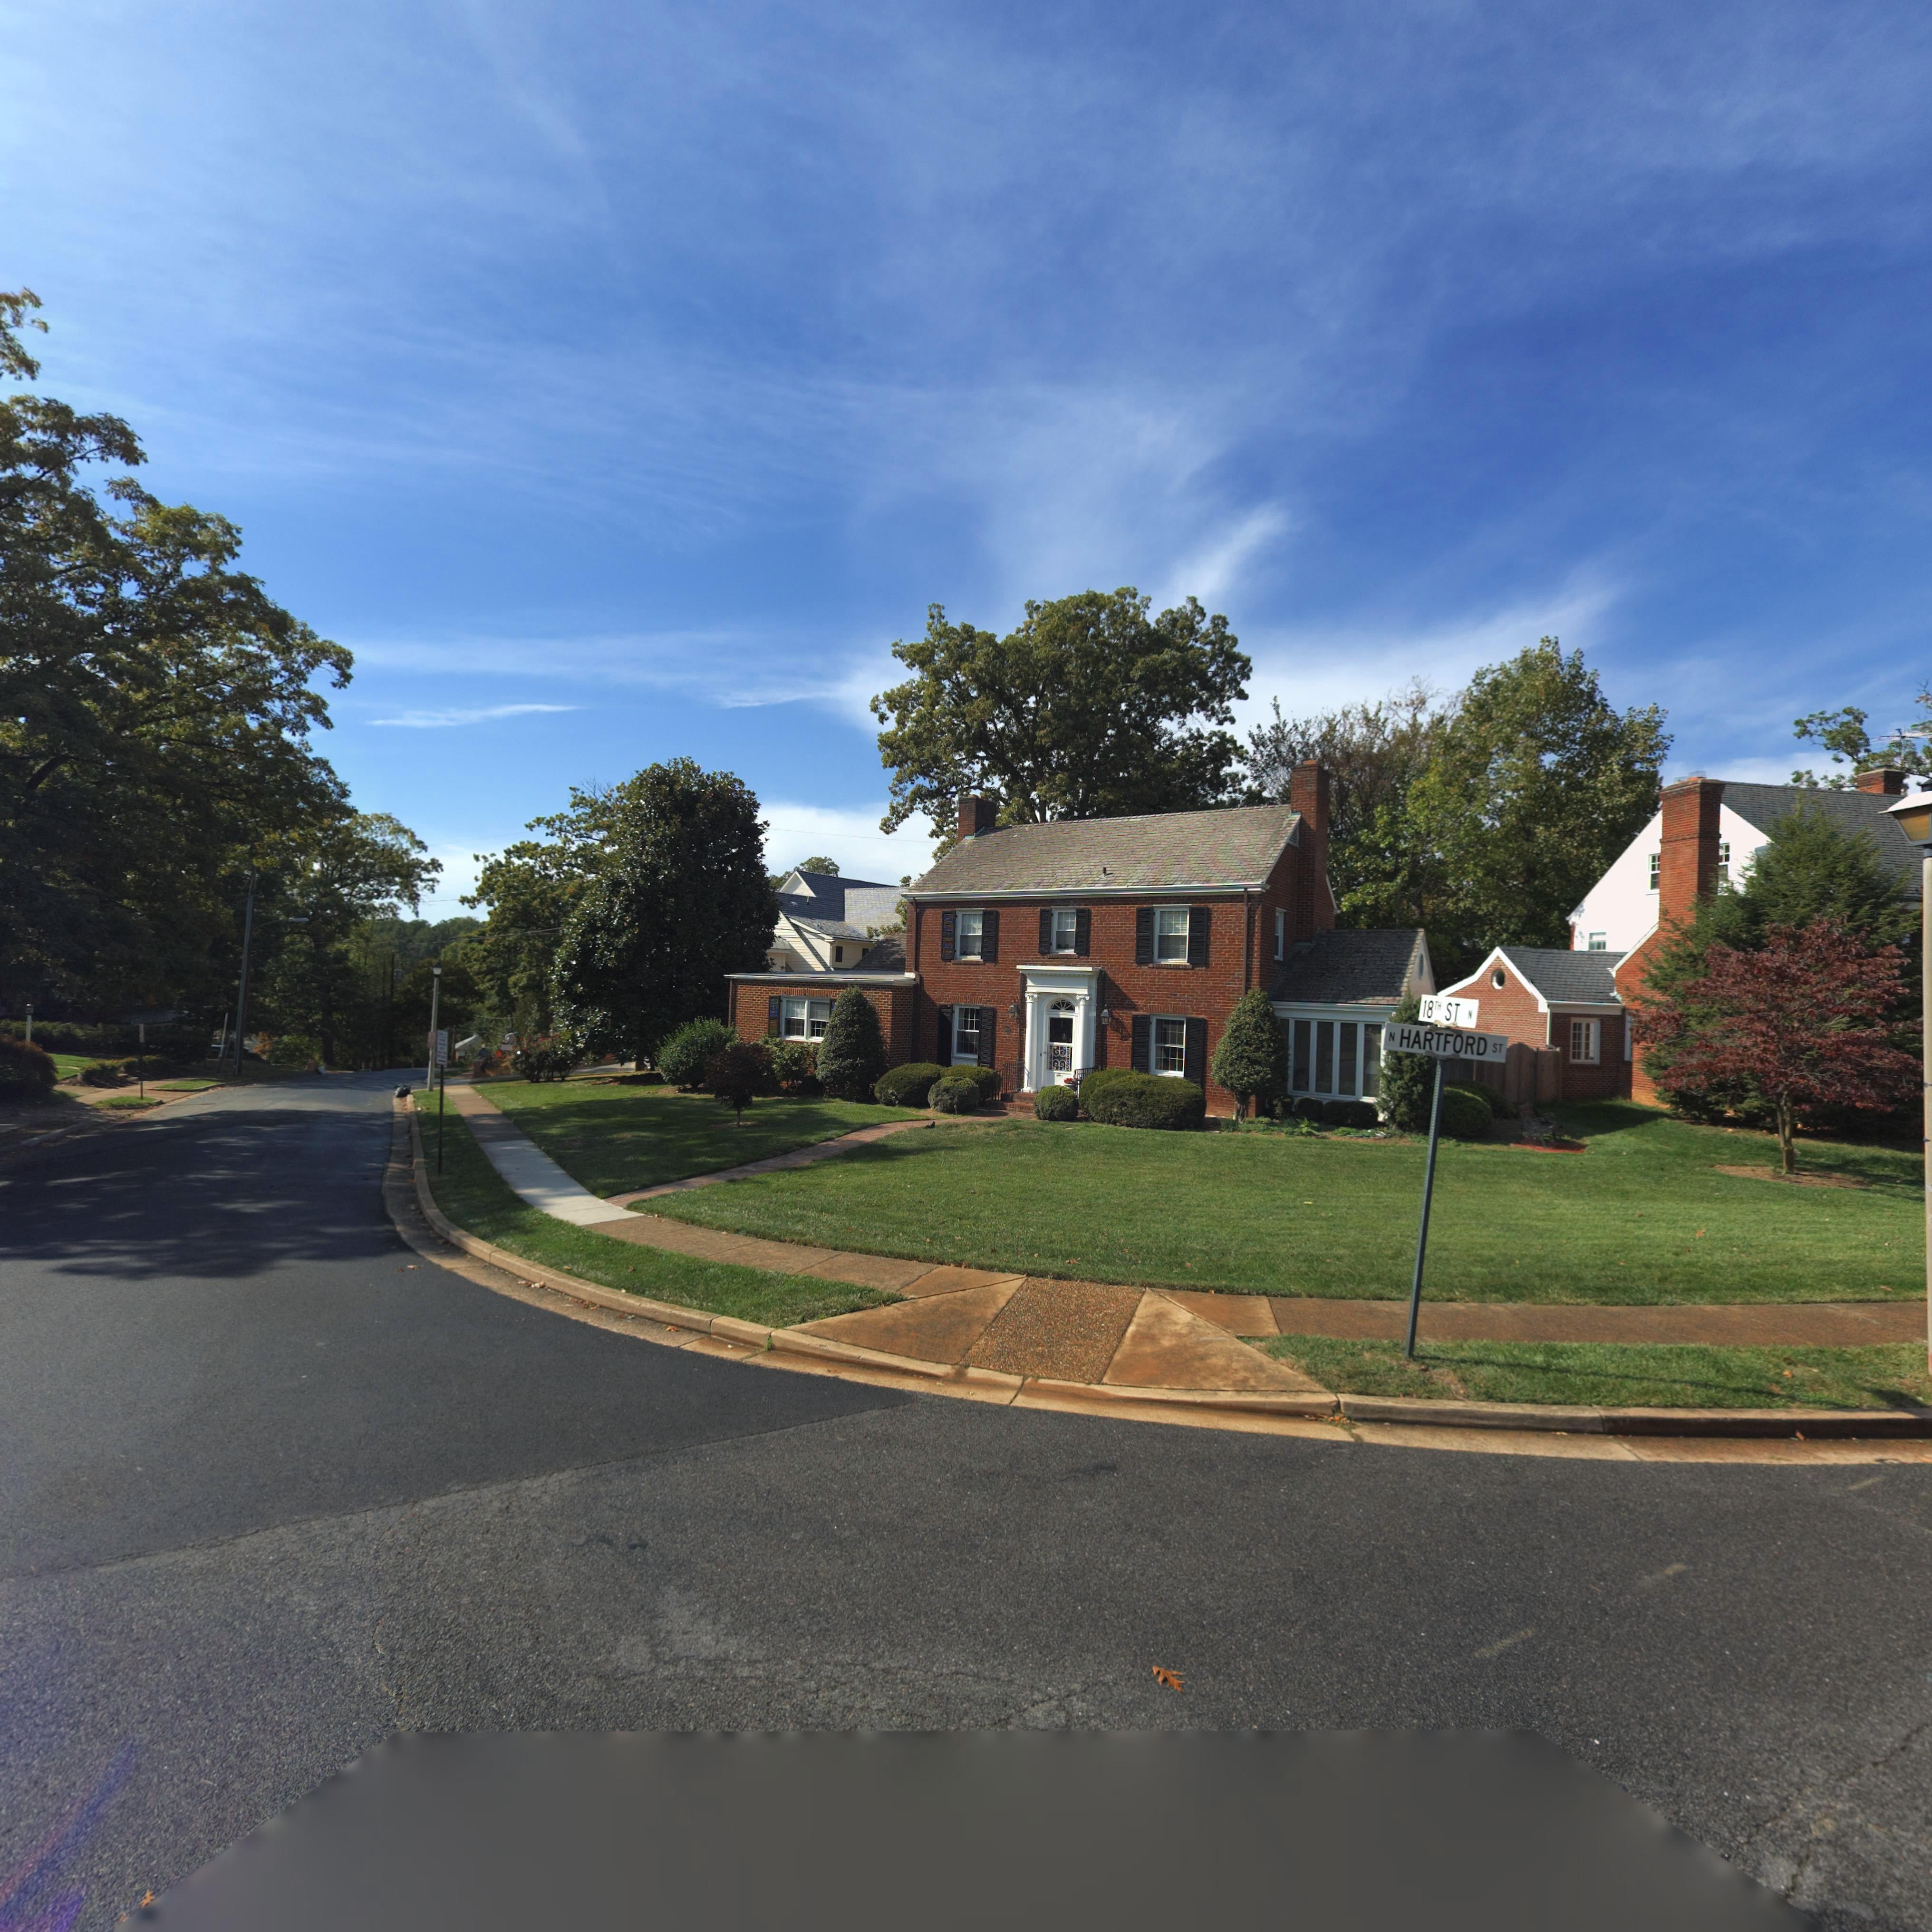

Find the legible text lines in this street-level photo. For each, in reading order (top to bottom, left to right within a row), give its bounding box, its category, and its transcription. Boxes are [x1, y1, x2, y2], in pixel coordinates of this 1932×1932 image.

[1421, 999, 1474, 1024] StreetName: 18TH ST N
[1388, 1026, 1505, 1057] StreetName: N HARTFORD ST